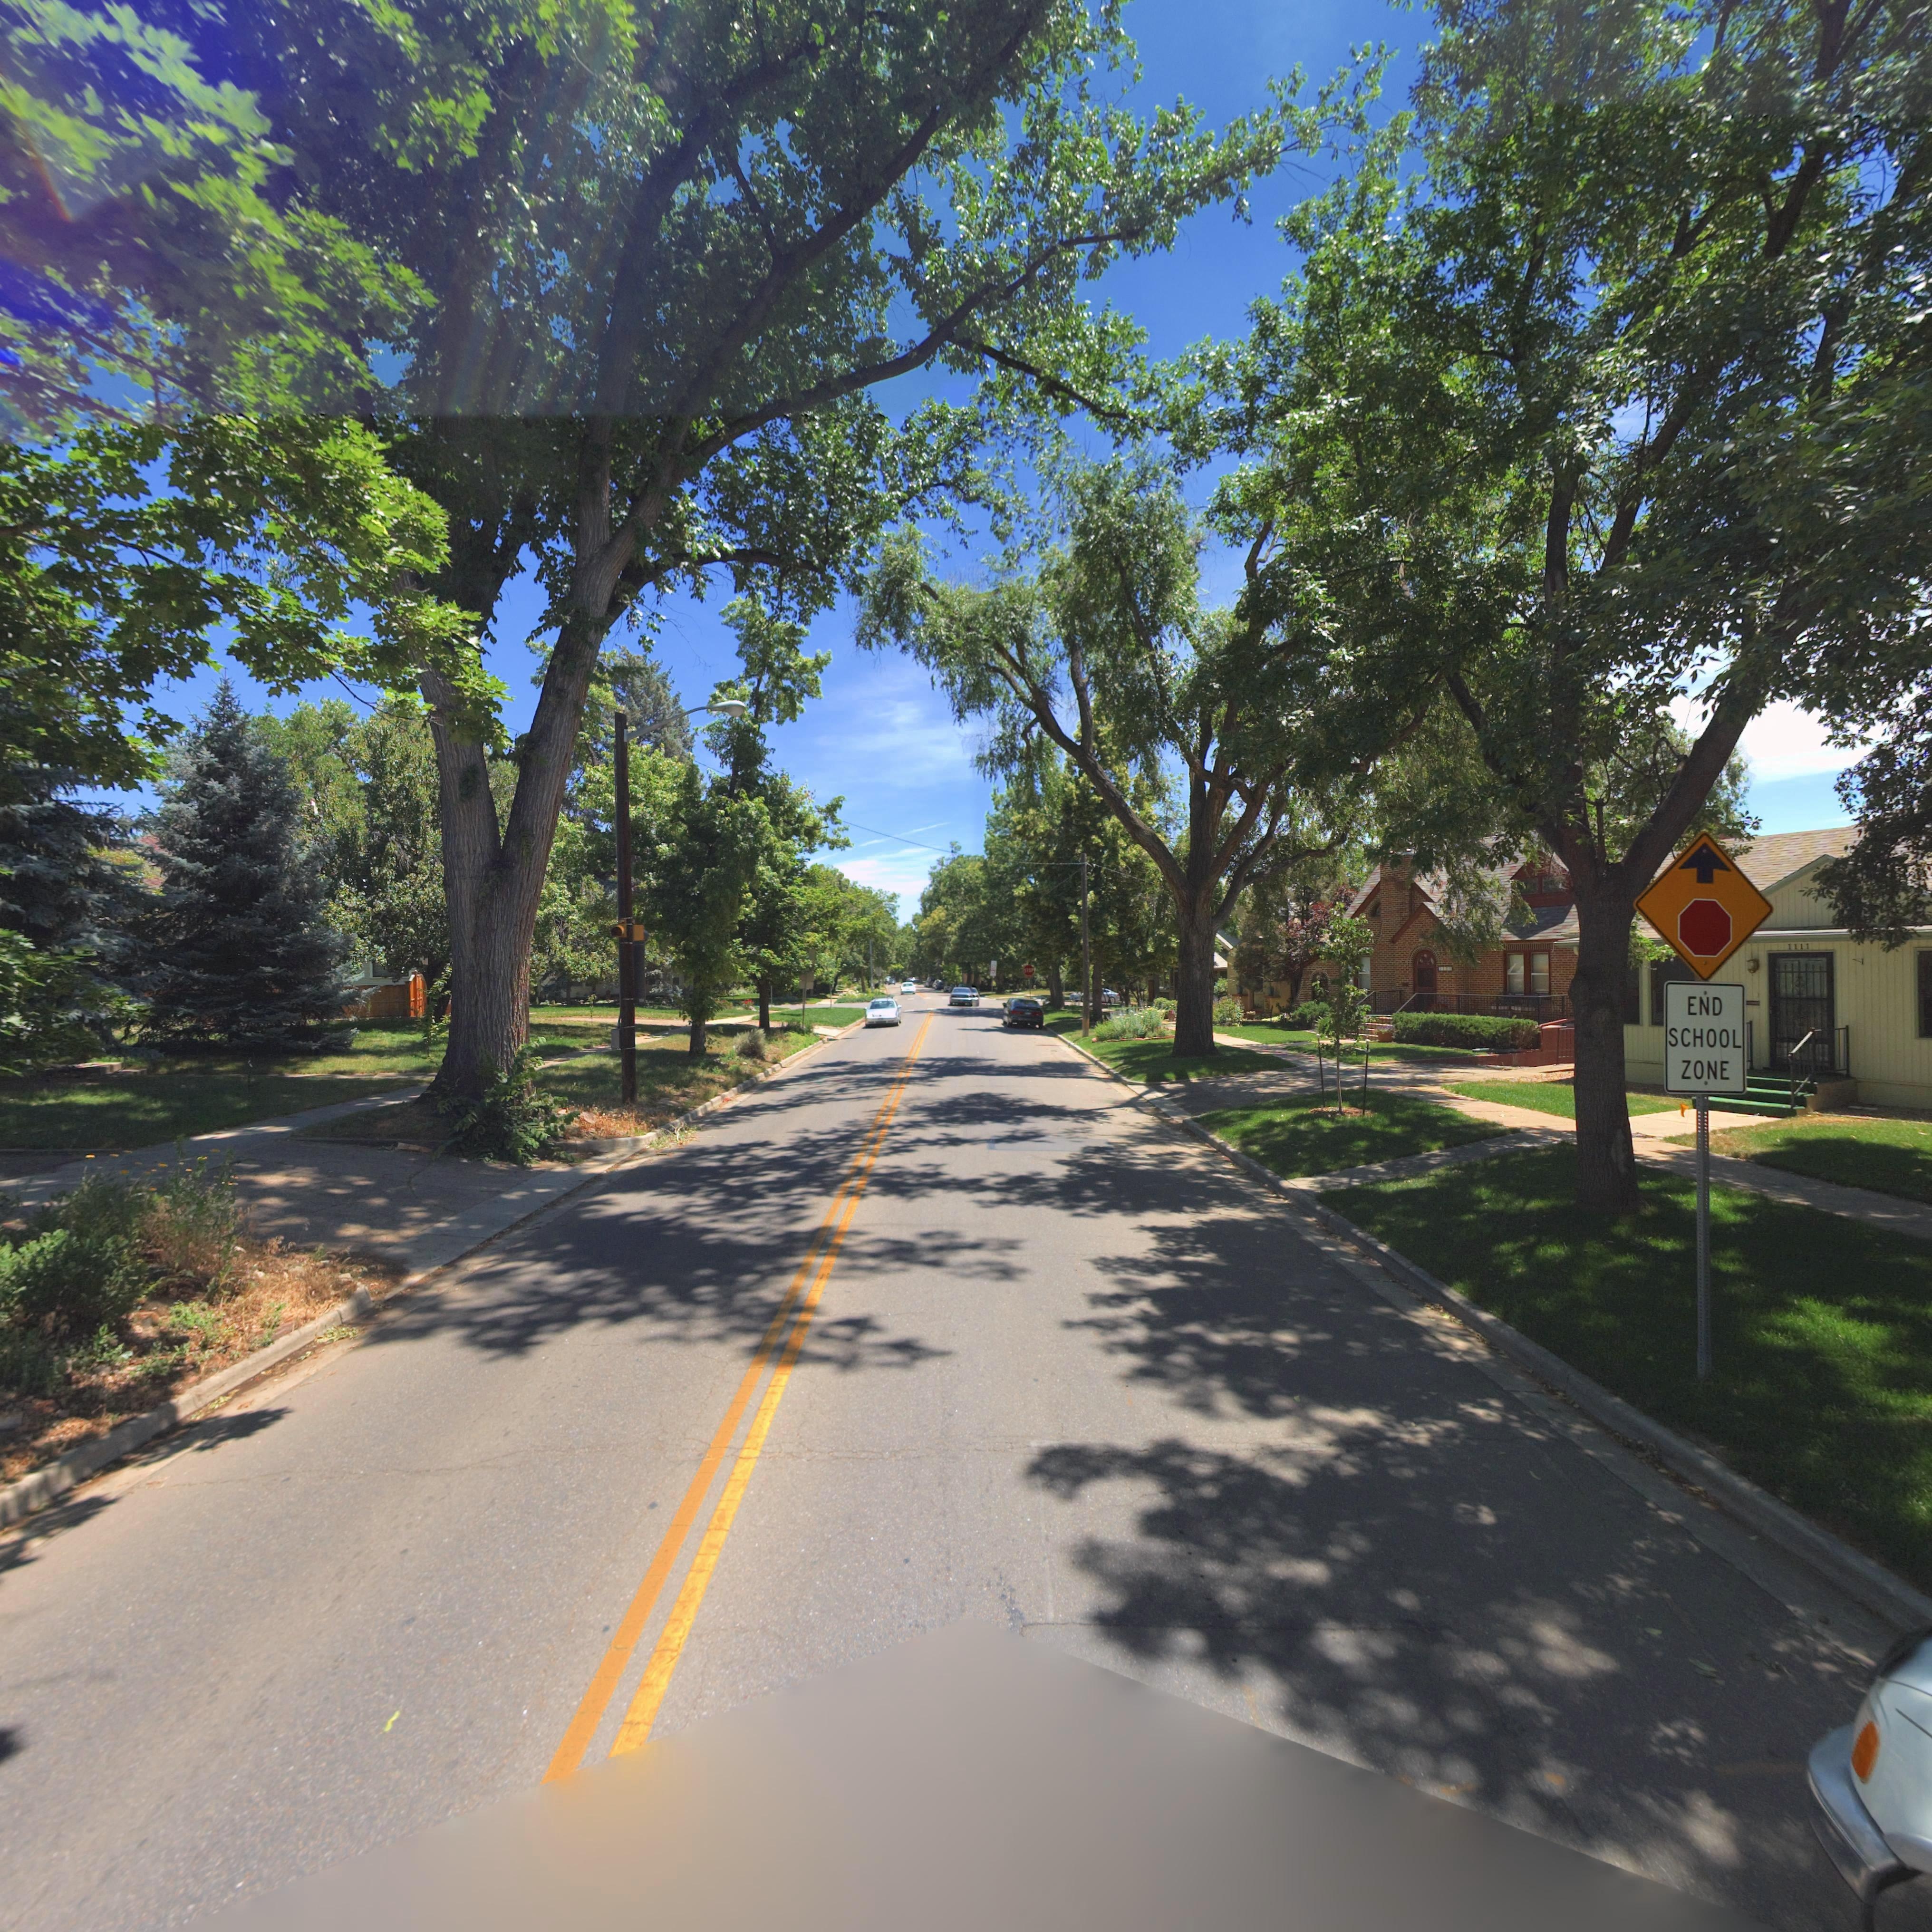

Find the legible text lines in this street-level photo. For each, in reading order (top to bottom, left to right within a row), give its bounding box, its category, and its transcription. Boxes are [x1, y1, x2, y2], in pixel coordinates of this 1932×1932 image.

[1787, 943, 1809, 950] StreetNumber: 1111
[1439, 966, 1451, 971] StreetNumber: 110*